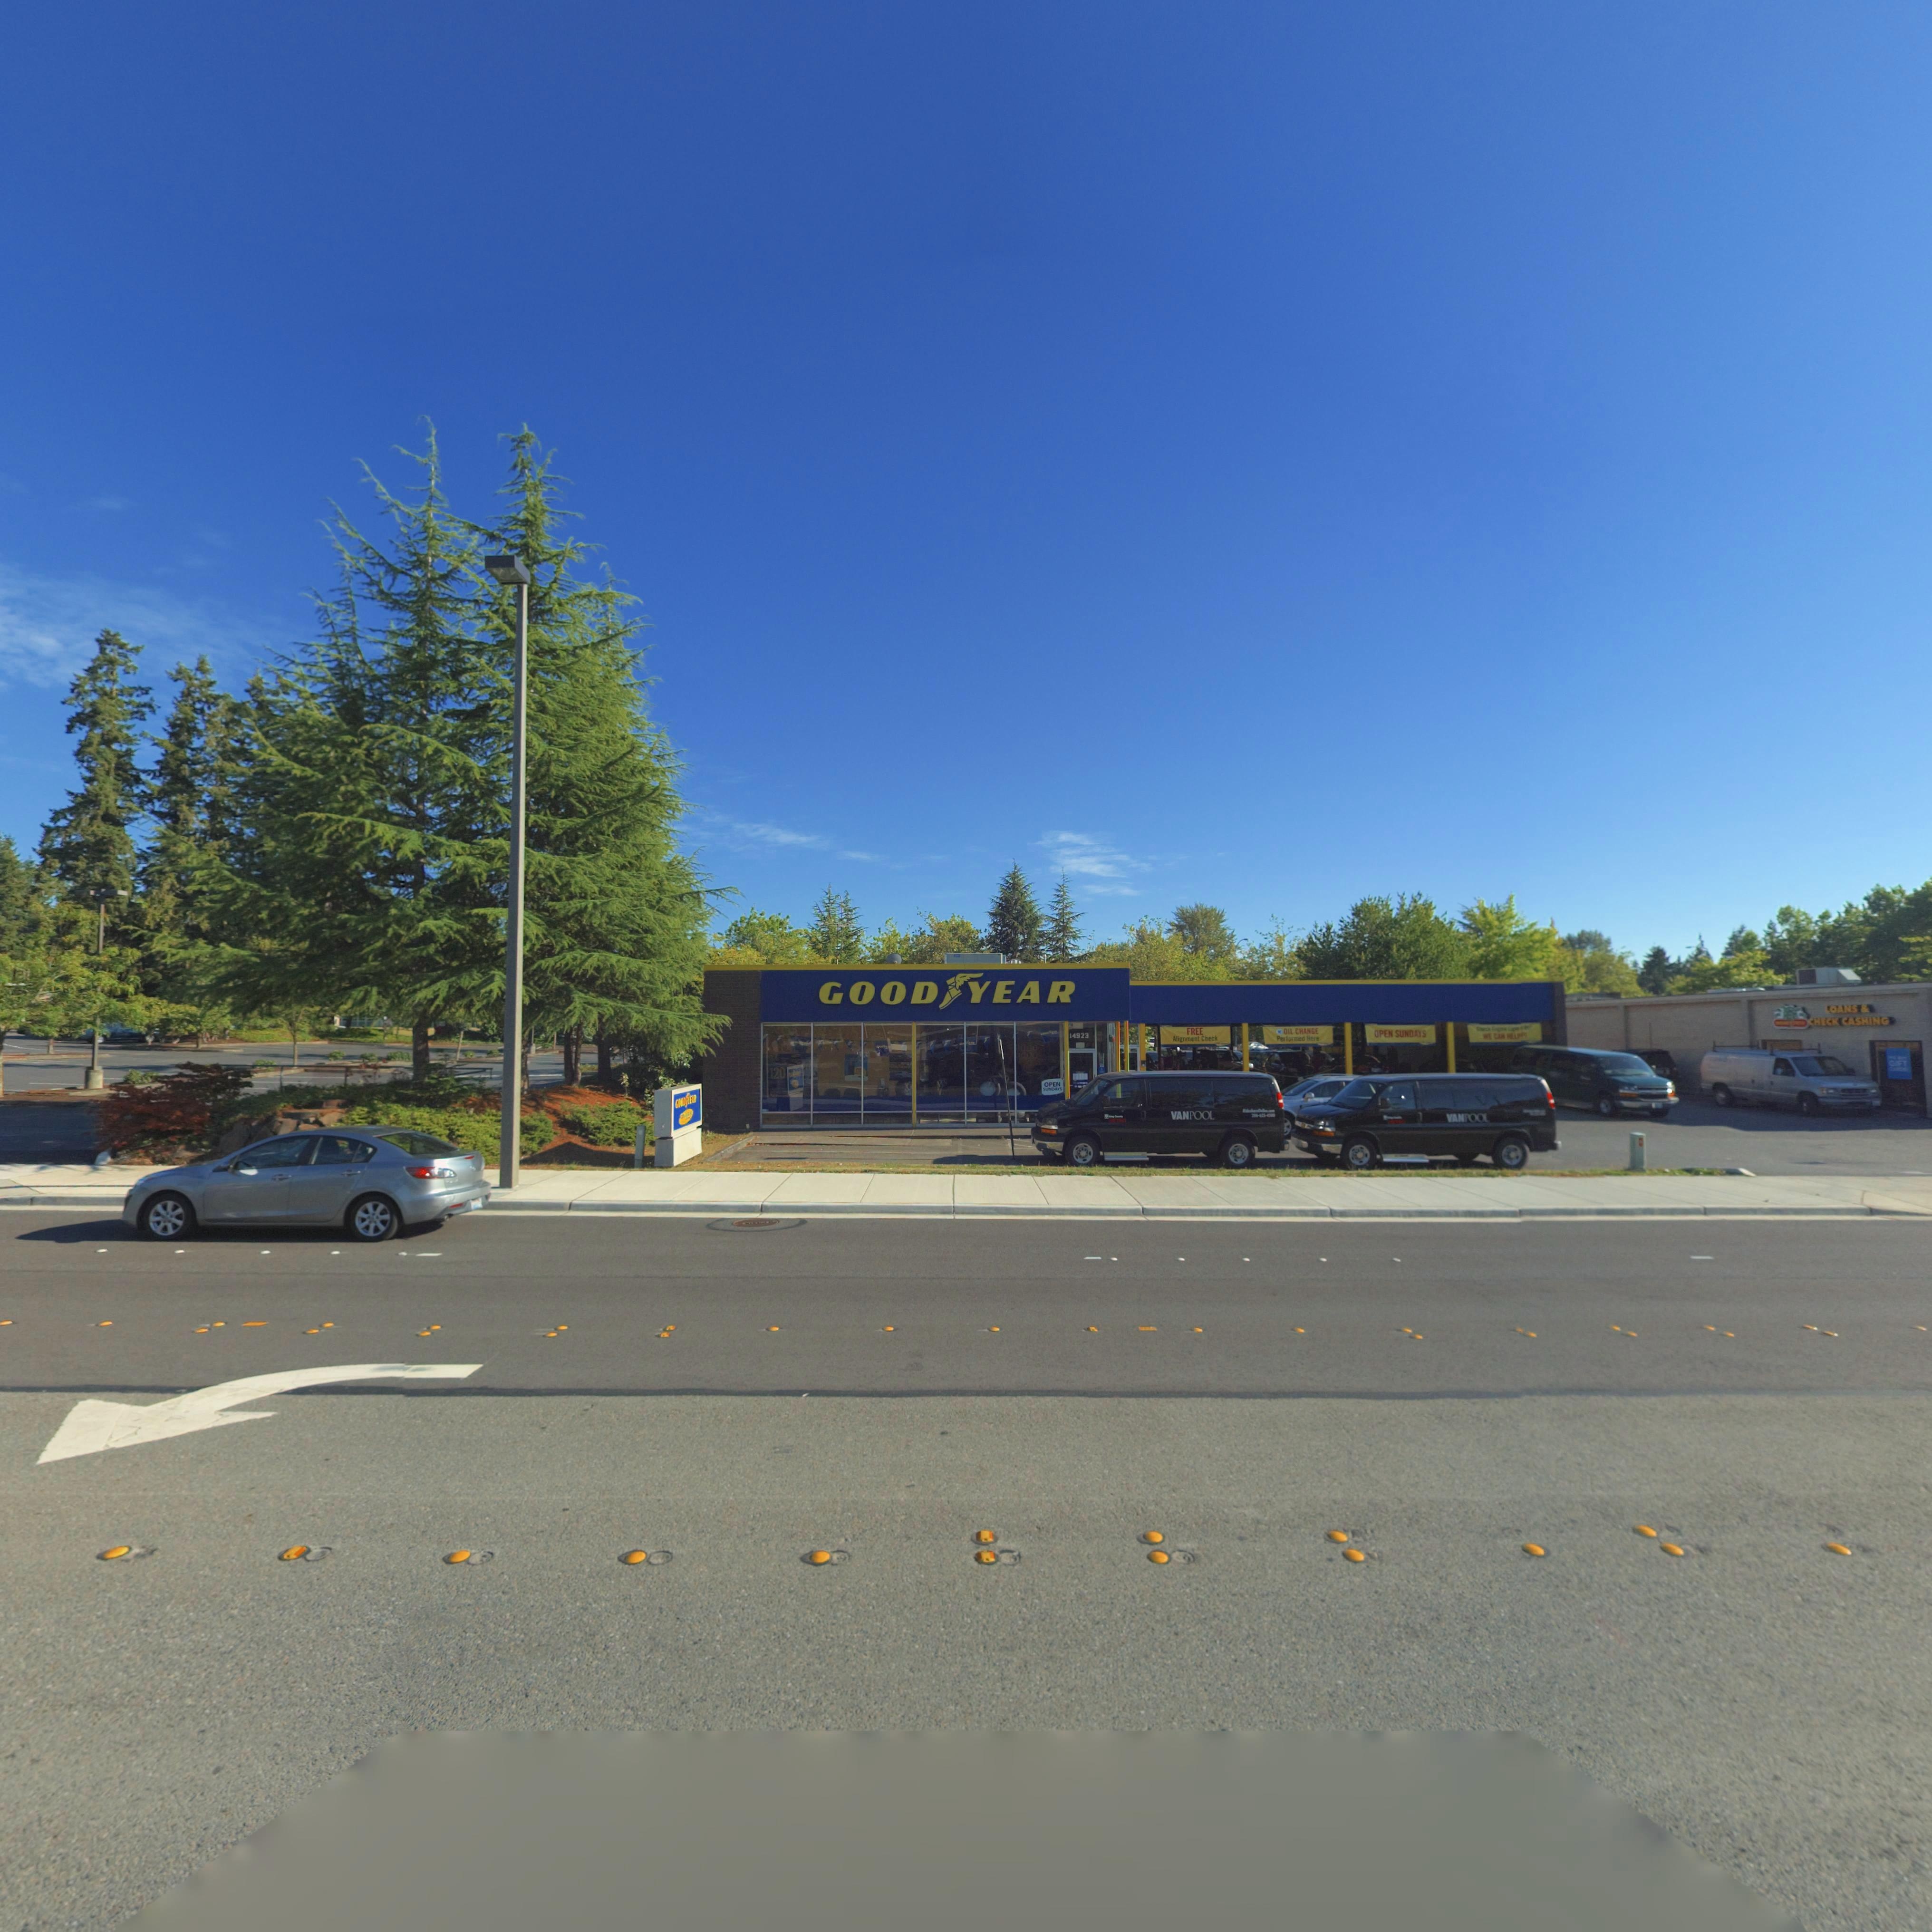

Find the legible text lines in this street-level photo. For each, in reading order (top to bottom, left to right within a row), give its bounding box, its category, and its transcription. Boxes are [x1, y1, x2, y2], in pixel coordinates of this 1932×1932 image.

[819, 973, 1075, 1010] BusinessName: GOOD*YEAR
[1808, 1016, 1889, 1027] BusinessName: CHECK CASHING
[1069, 1031, 1090, 1040] StreetNumber: 14923